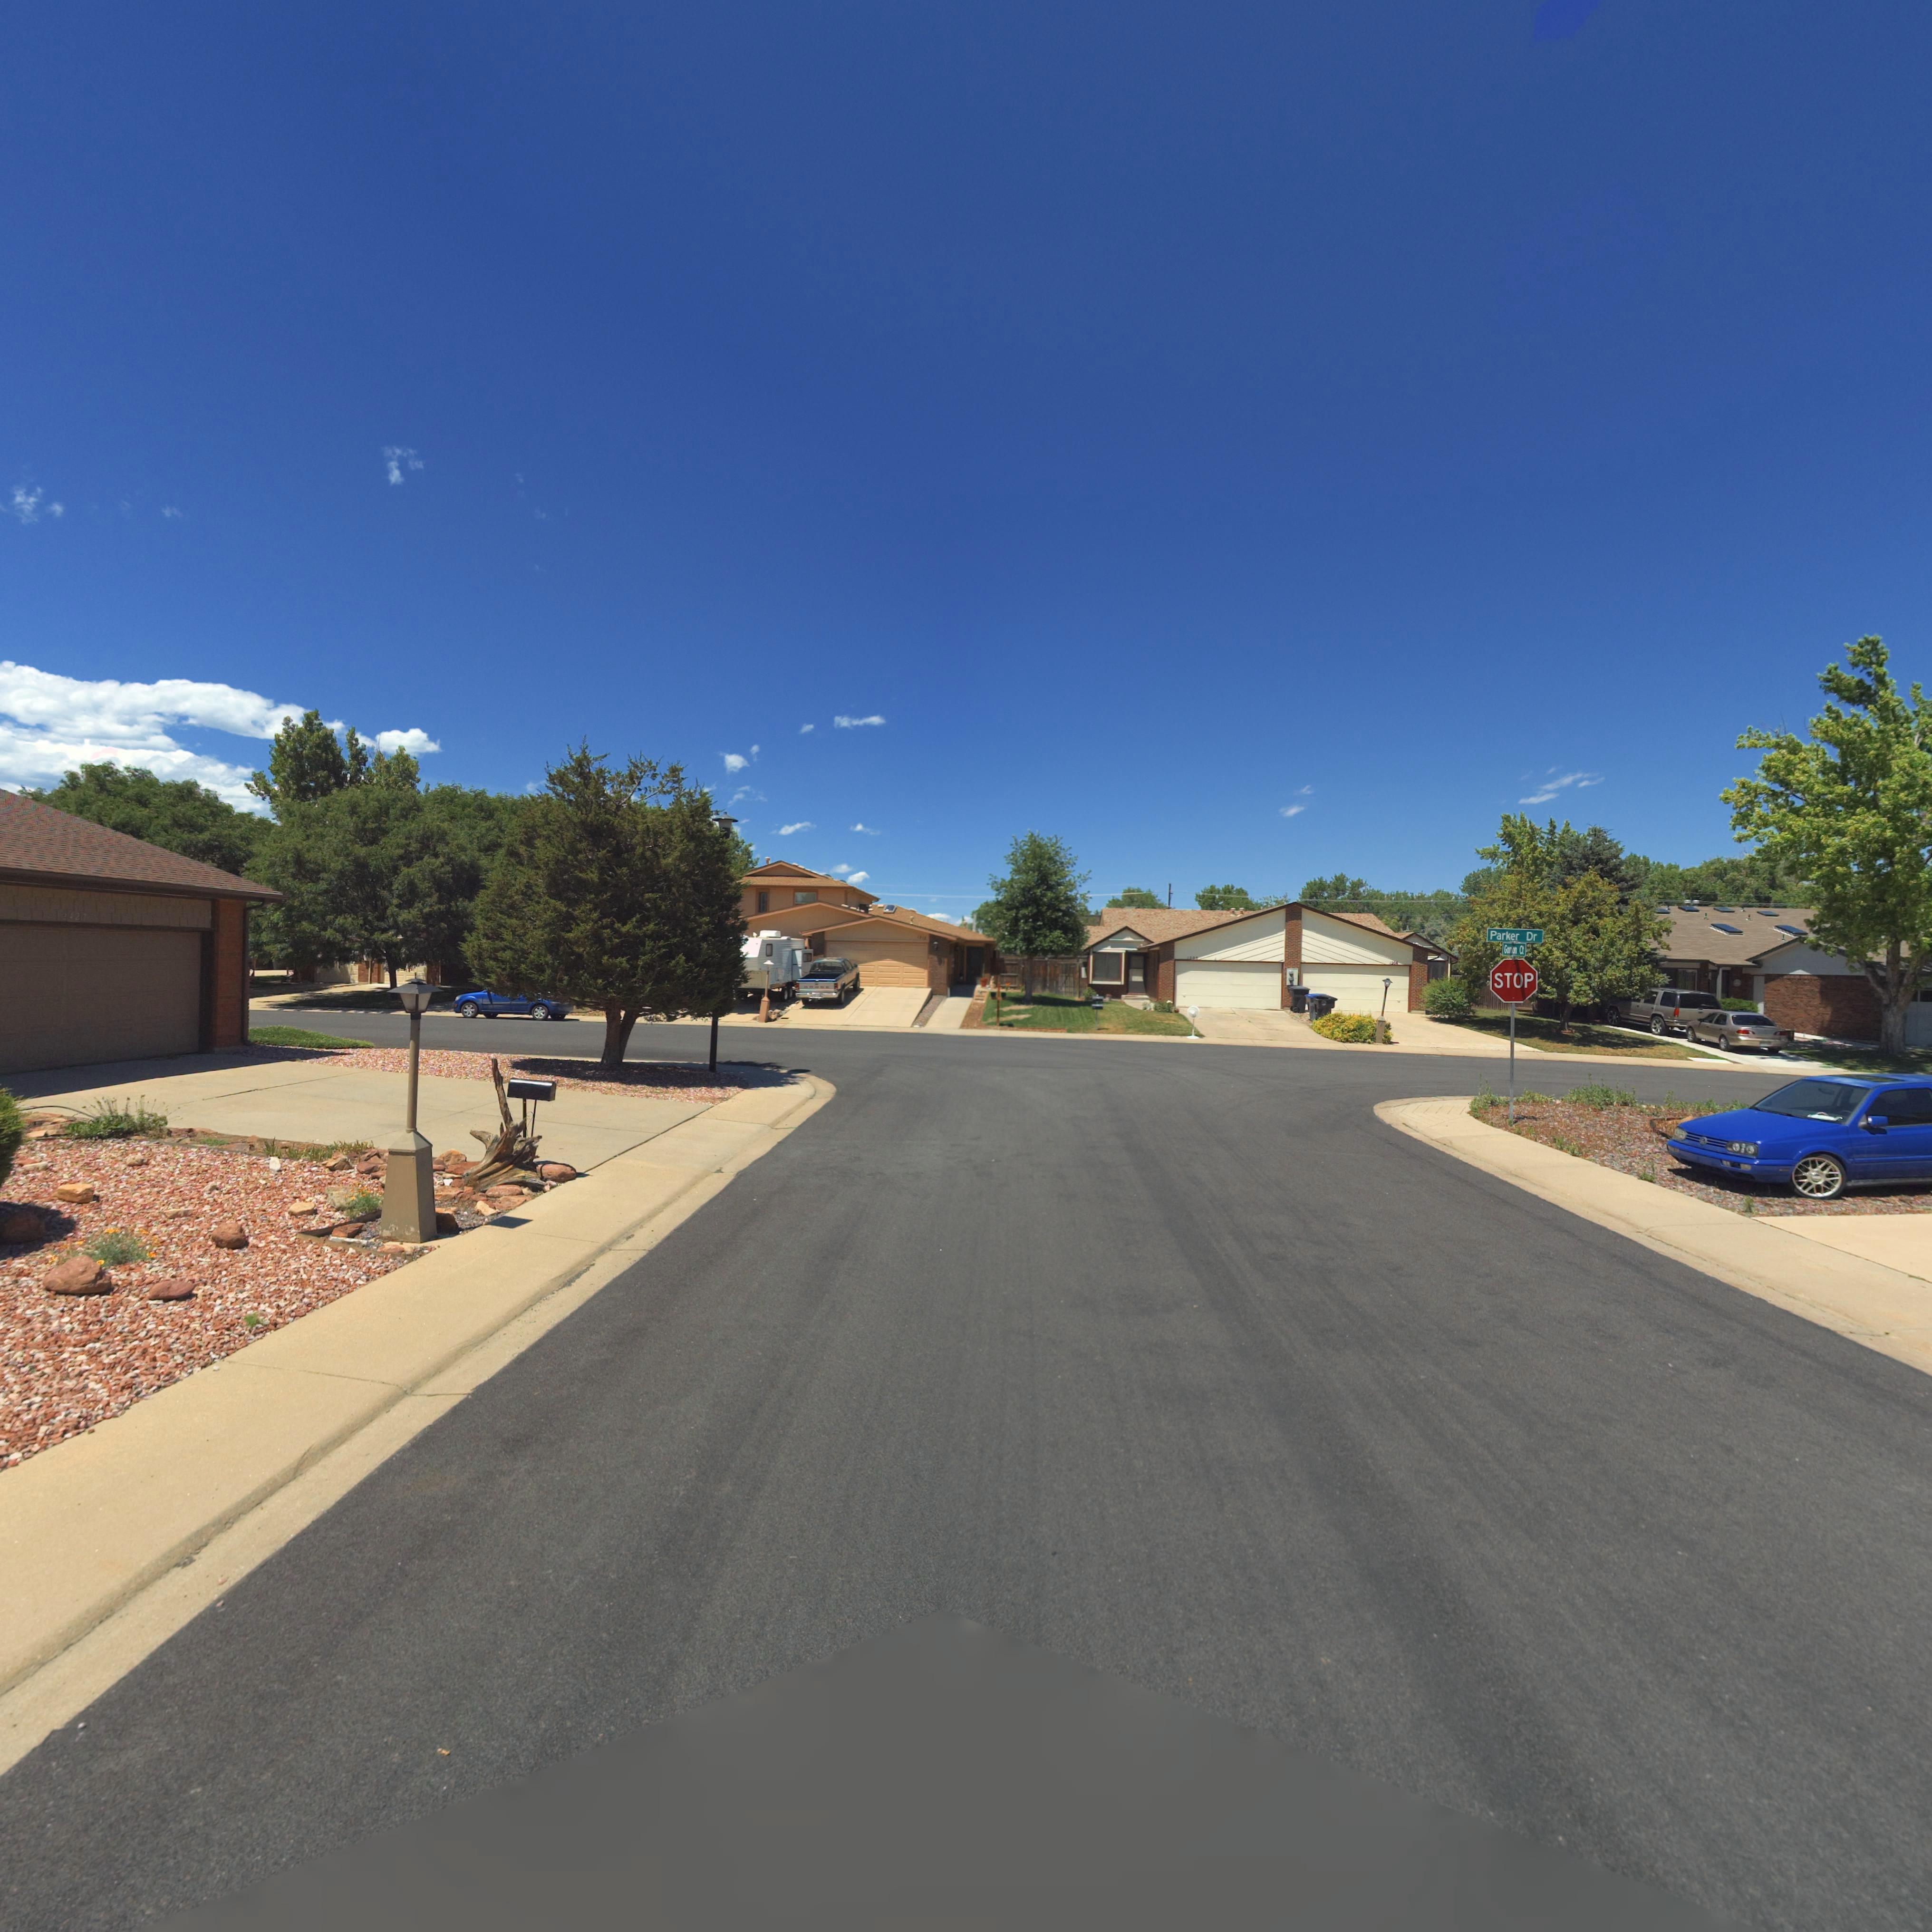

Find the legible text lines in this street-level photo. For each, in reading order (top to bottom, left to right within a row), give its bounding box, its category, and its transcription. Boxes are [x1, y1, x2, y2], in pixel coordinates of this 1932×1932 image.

[917, 935, 926, 939] StreetNumber: 1212
[1489, 930, 1537, 941] StreetName: Parker Dr
[1503, 944, 1524, 954] StreetName: Gordon Ct
[1187, 956, 1198, 960] StreetNumber: 1*0*
[1389, 961, 1398, 965] StreetNumber: 1206